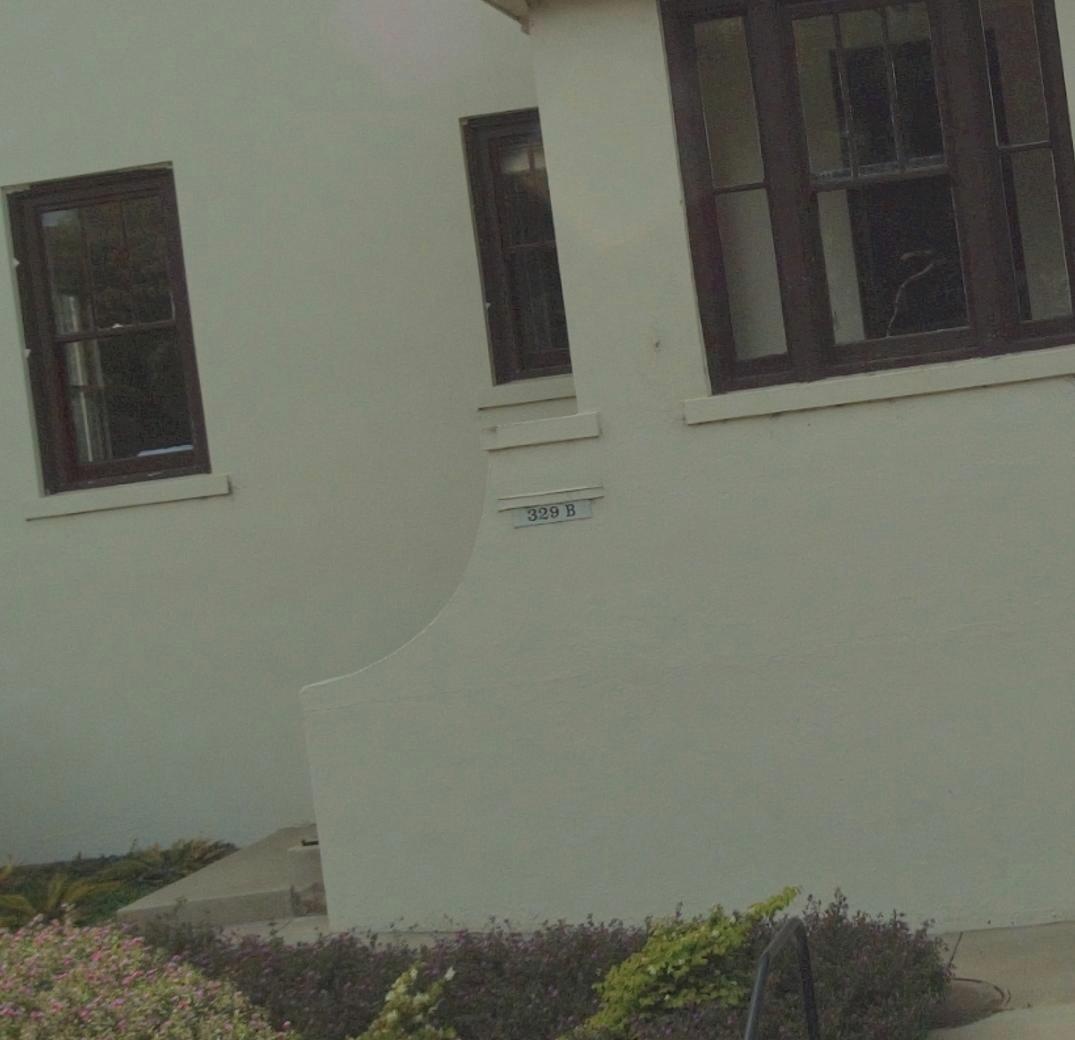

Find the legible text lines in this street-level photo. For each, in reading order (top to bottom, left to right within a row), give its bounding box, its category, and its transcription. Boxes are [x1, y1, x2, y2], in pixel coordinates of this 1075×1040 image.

[525, 502, 578, 523] StreetNumber: 329B